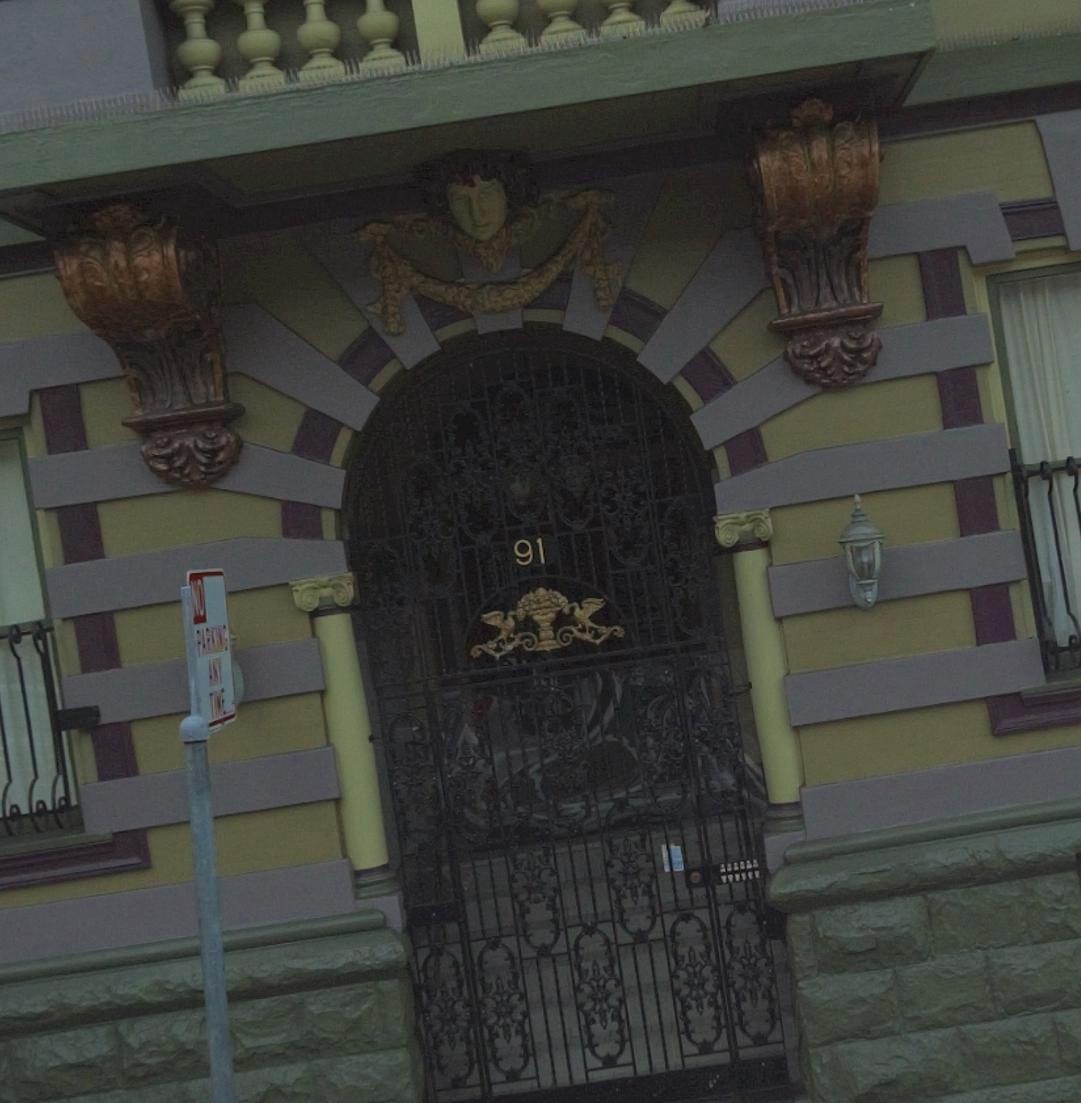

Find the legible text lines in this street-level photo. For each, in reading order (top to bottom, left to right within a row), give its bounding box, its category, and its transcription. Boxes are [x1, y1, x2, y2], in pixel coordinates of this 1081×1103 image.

[510, 533, 549, 569] StreetNumber: 91
[196, 577, 207, 620] None: O
[194, 628, 204, 660] None: P